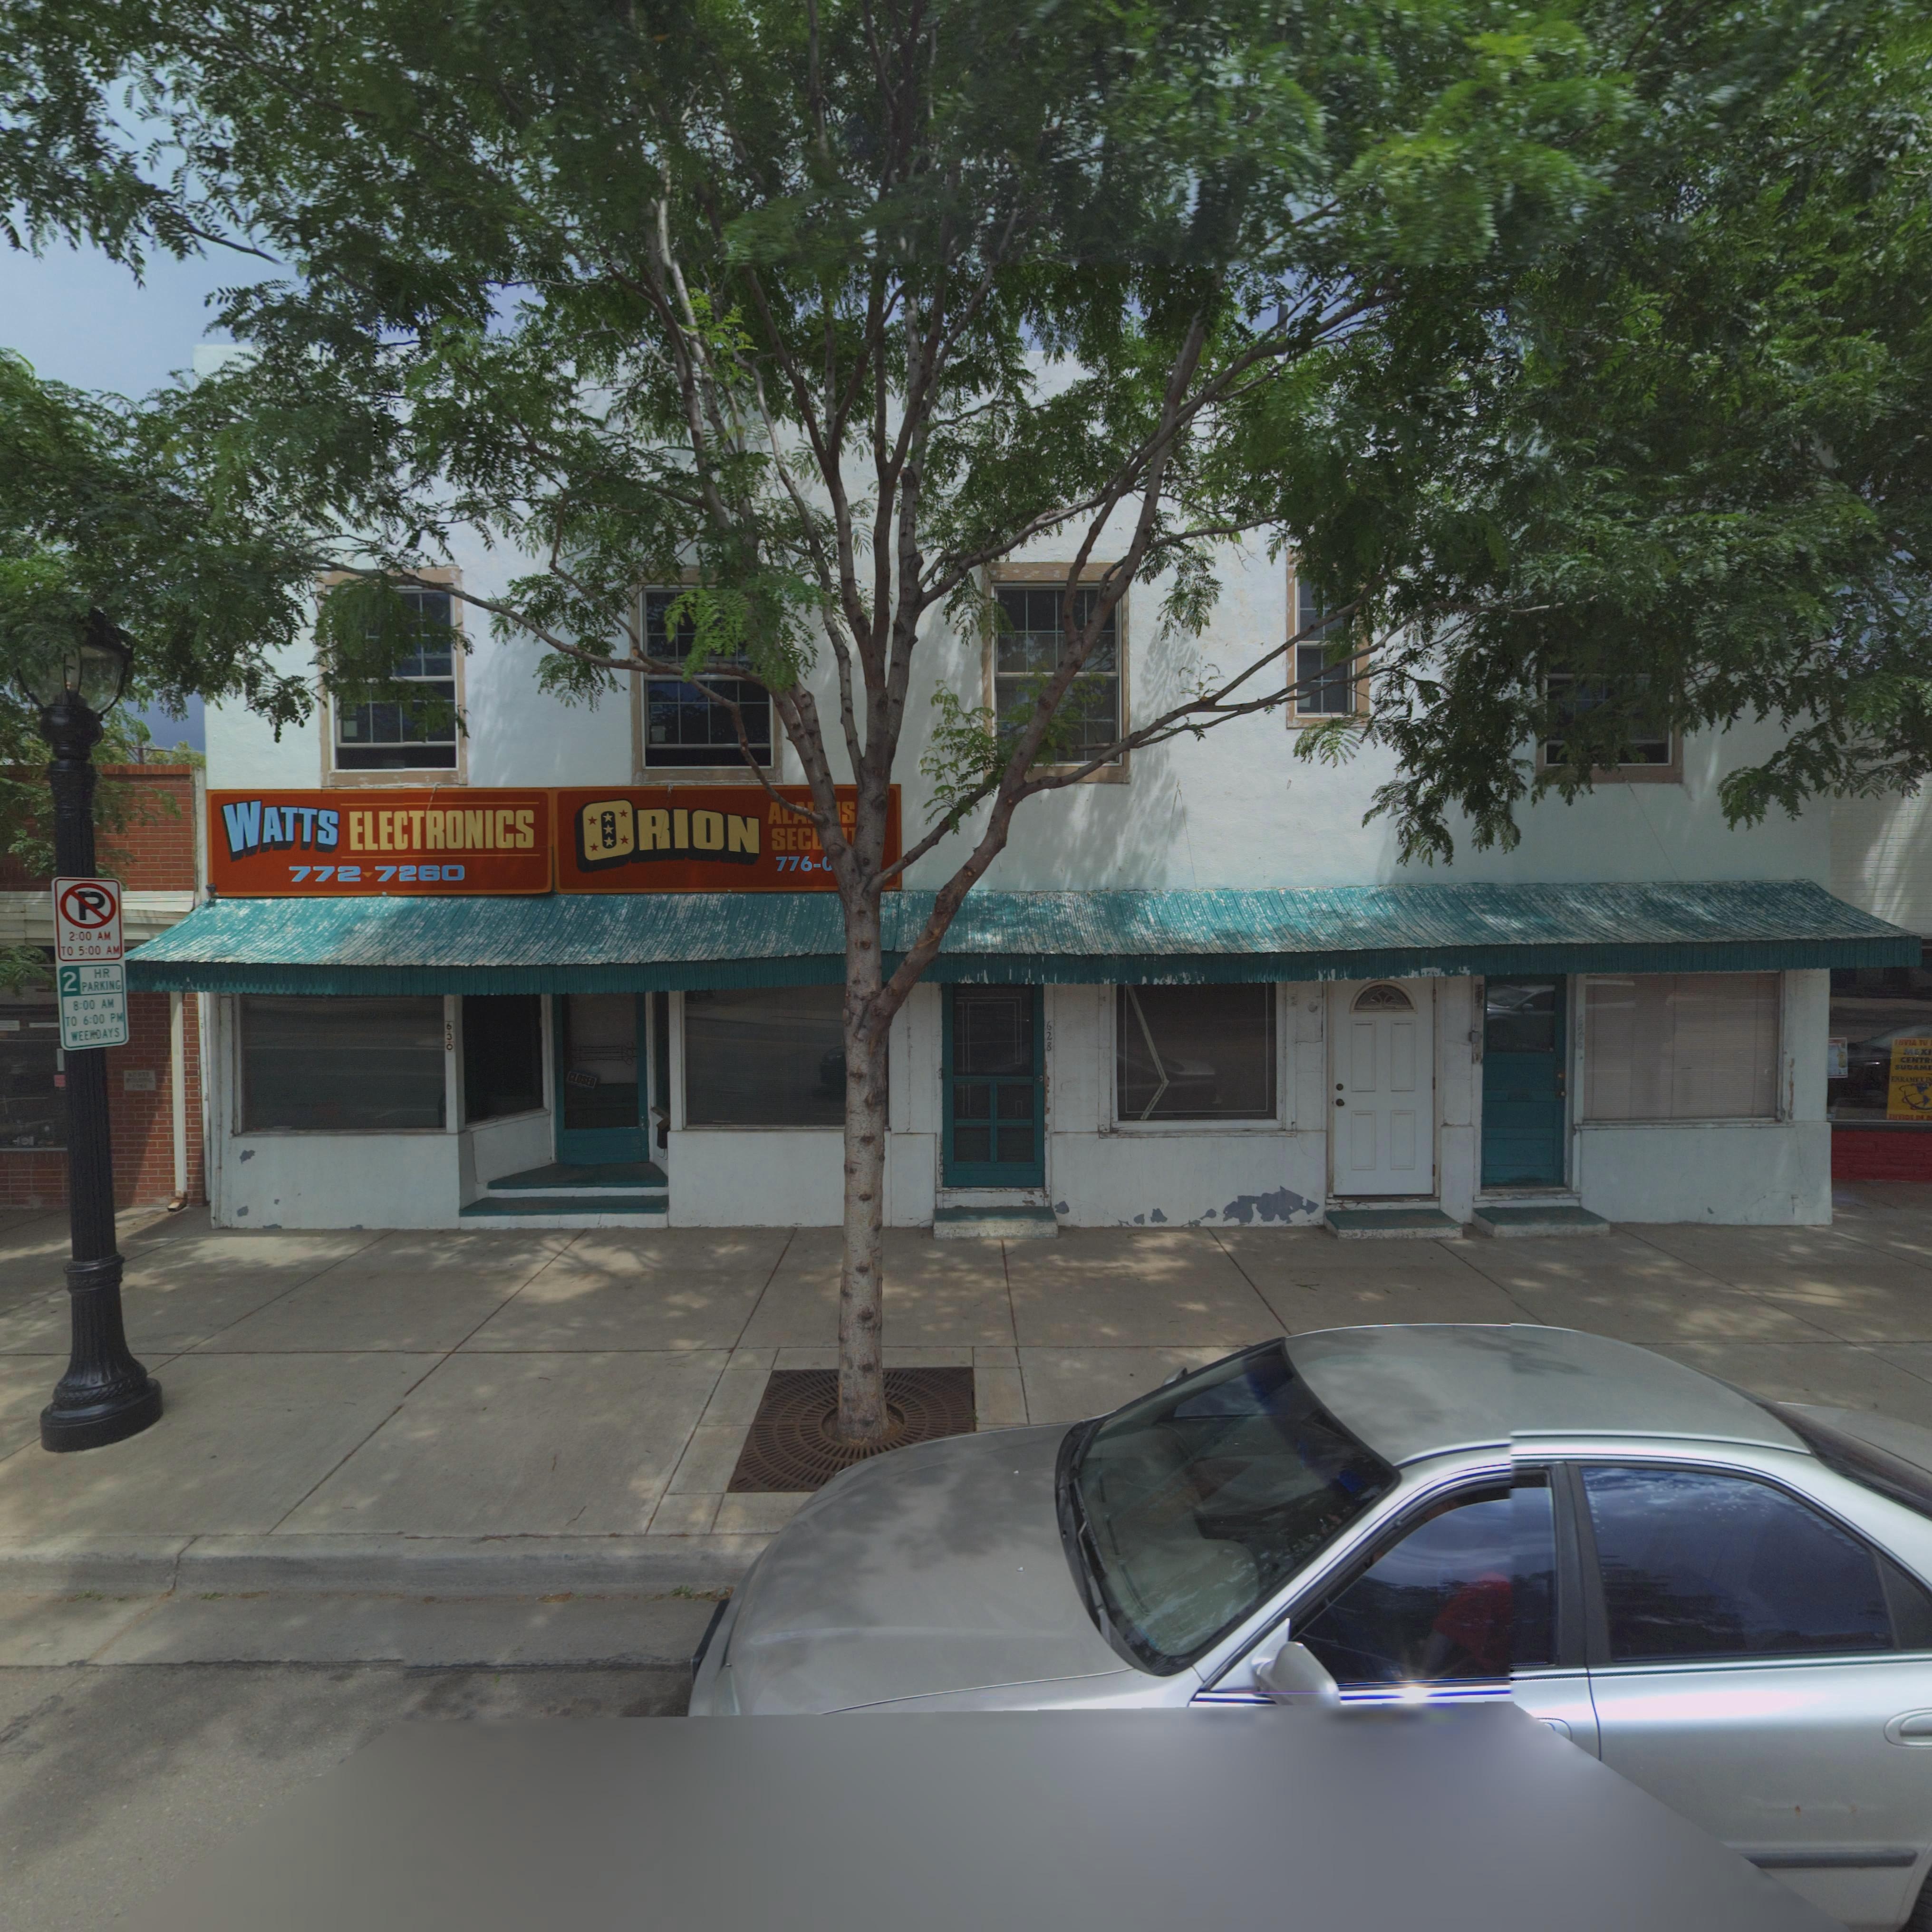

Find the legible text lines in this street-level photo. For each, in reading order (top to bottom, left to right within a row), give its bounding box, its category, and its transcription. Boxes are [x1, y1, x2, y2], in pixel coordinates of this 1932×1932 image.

[220, 798, 535, 854] BusinessName: WATTS ELECTRONICS
[580, 798, 760, 862] BusinessName: ORION
[445, 1022, 453, 1050] StreetNumber: 630
[1046, 1019, 1053, 1052] StreetNumber: 628
[1576, 1014, 1584, 1052] StreetNumber: 626